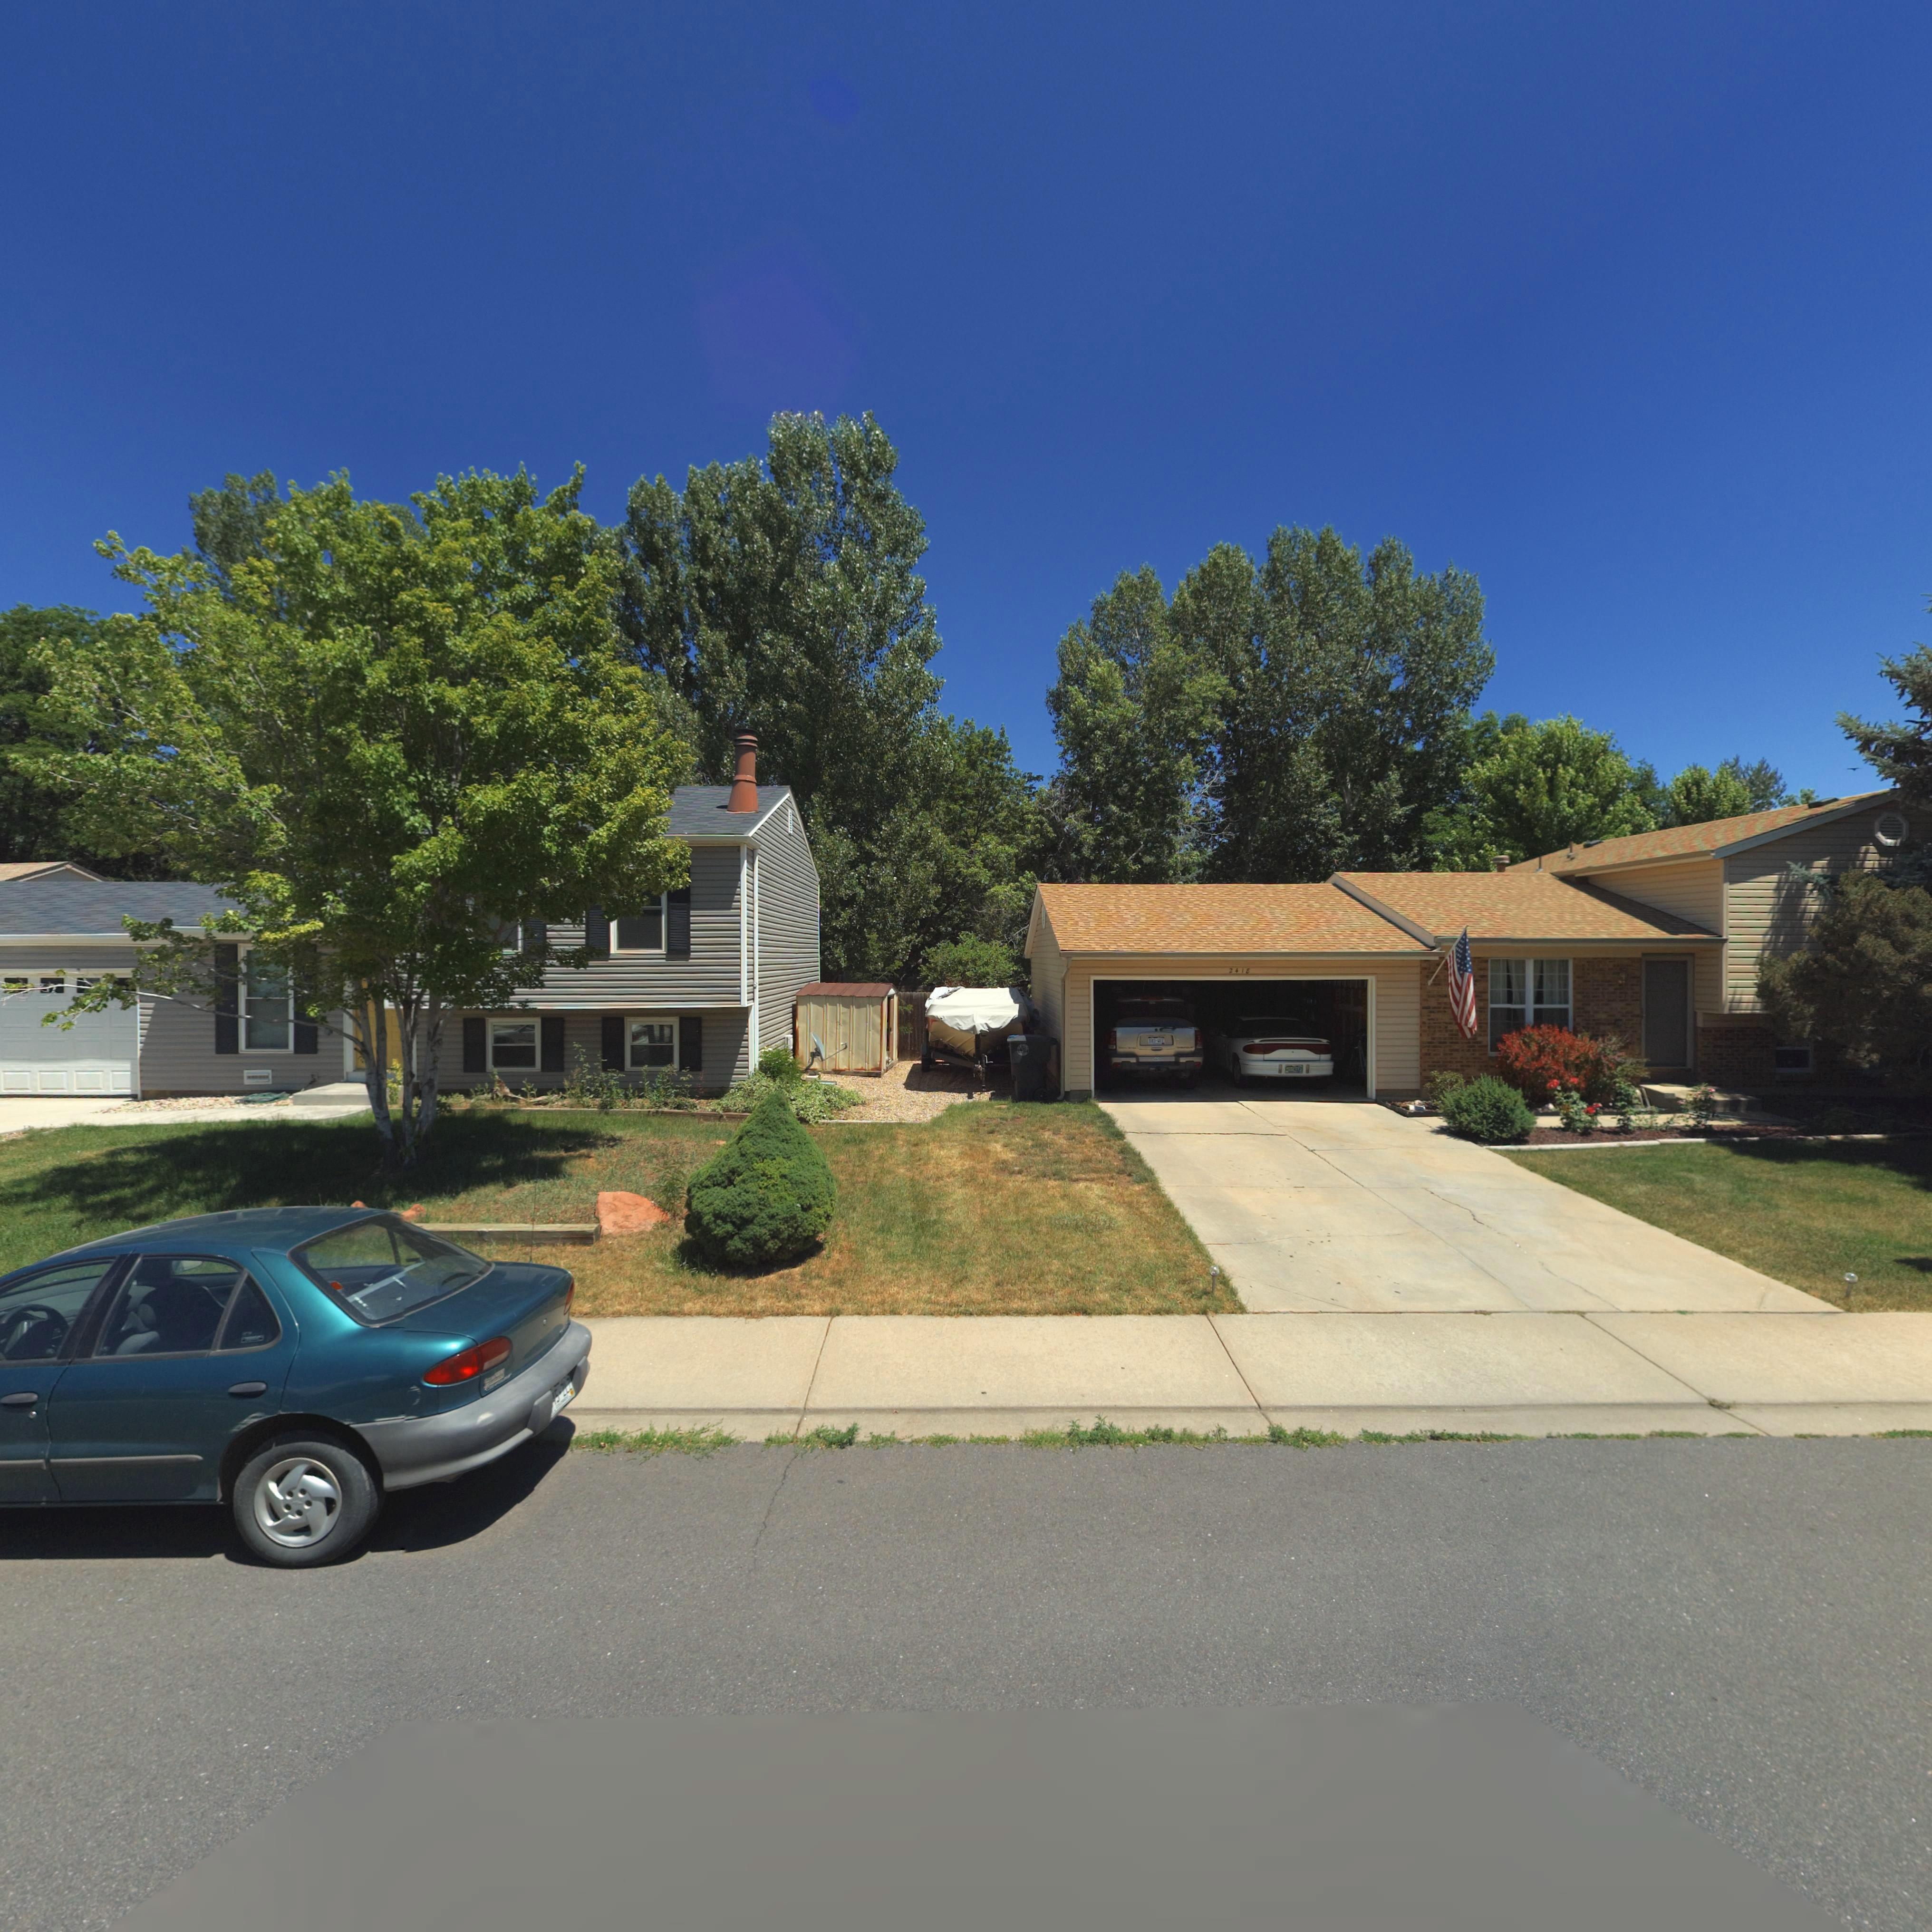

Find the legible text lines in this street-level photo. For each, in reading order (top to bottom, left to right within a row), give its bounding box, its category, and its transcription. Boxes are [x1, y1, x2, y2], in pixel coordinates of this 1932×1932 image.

[1228, 966, 1251, 974] StreetNumber: 2418